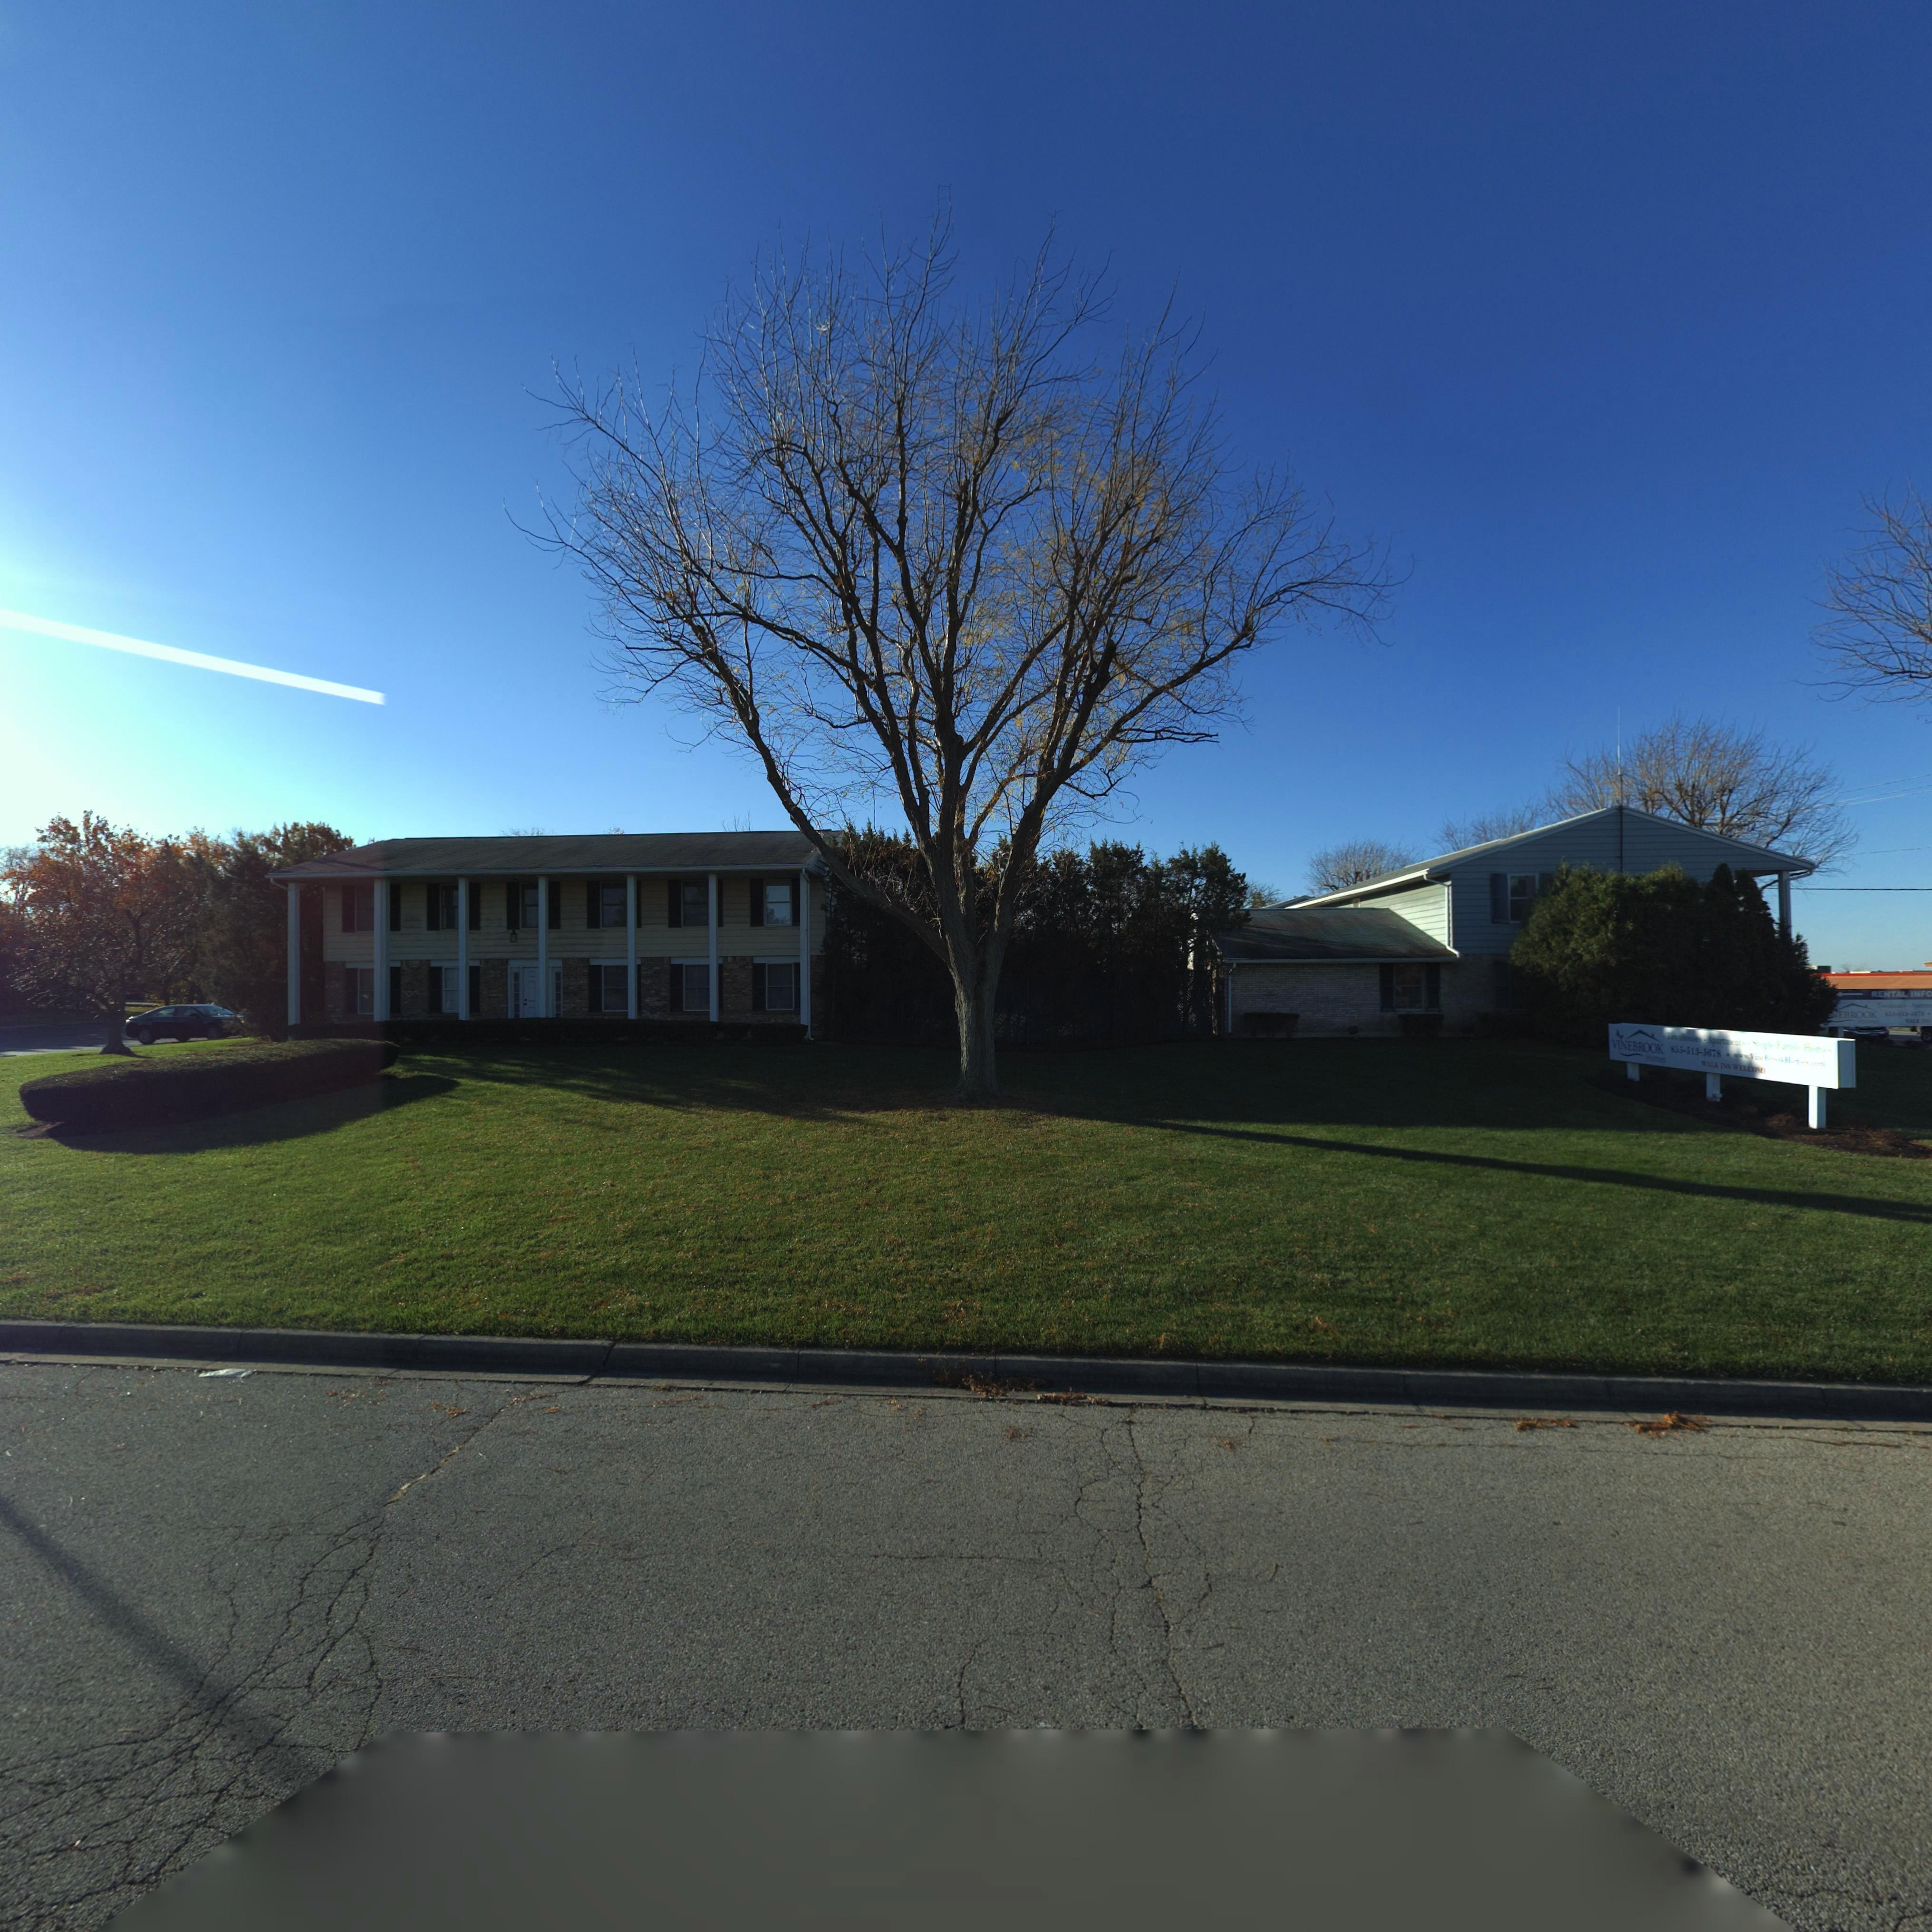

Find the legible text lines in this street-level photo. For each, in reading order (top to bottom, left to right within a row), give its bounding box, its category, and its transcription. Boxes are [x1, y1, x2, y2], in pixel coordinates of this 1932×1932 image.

[564, 978, 587, 985] StreetNumber: 5550